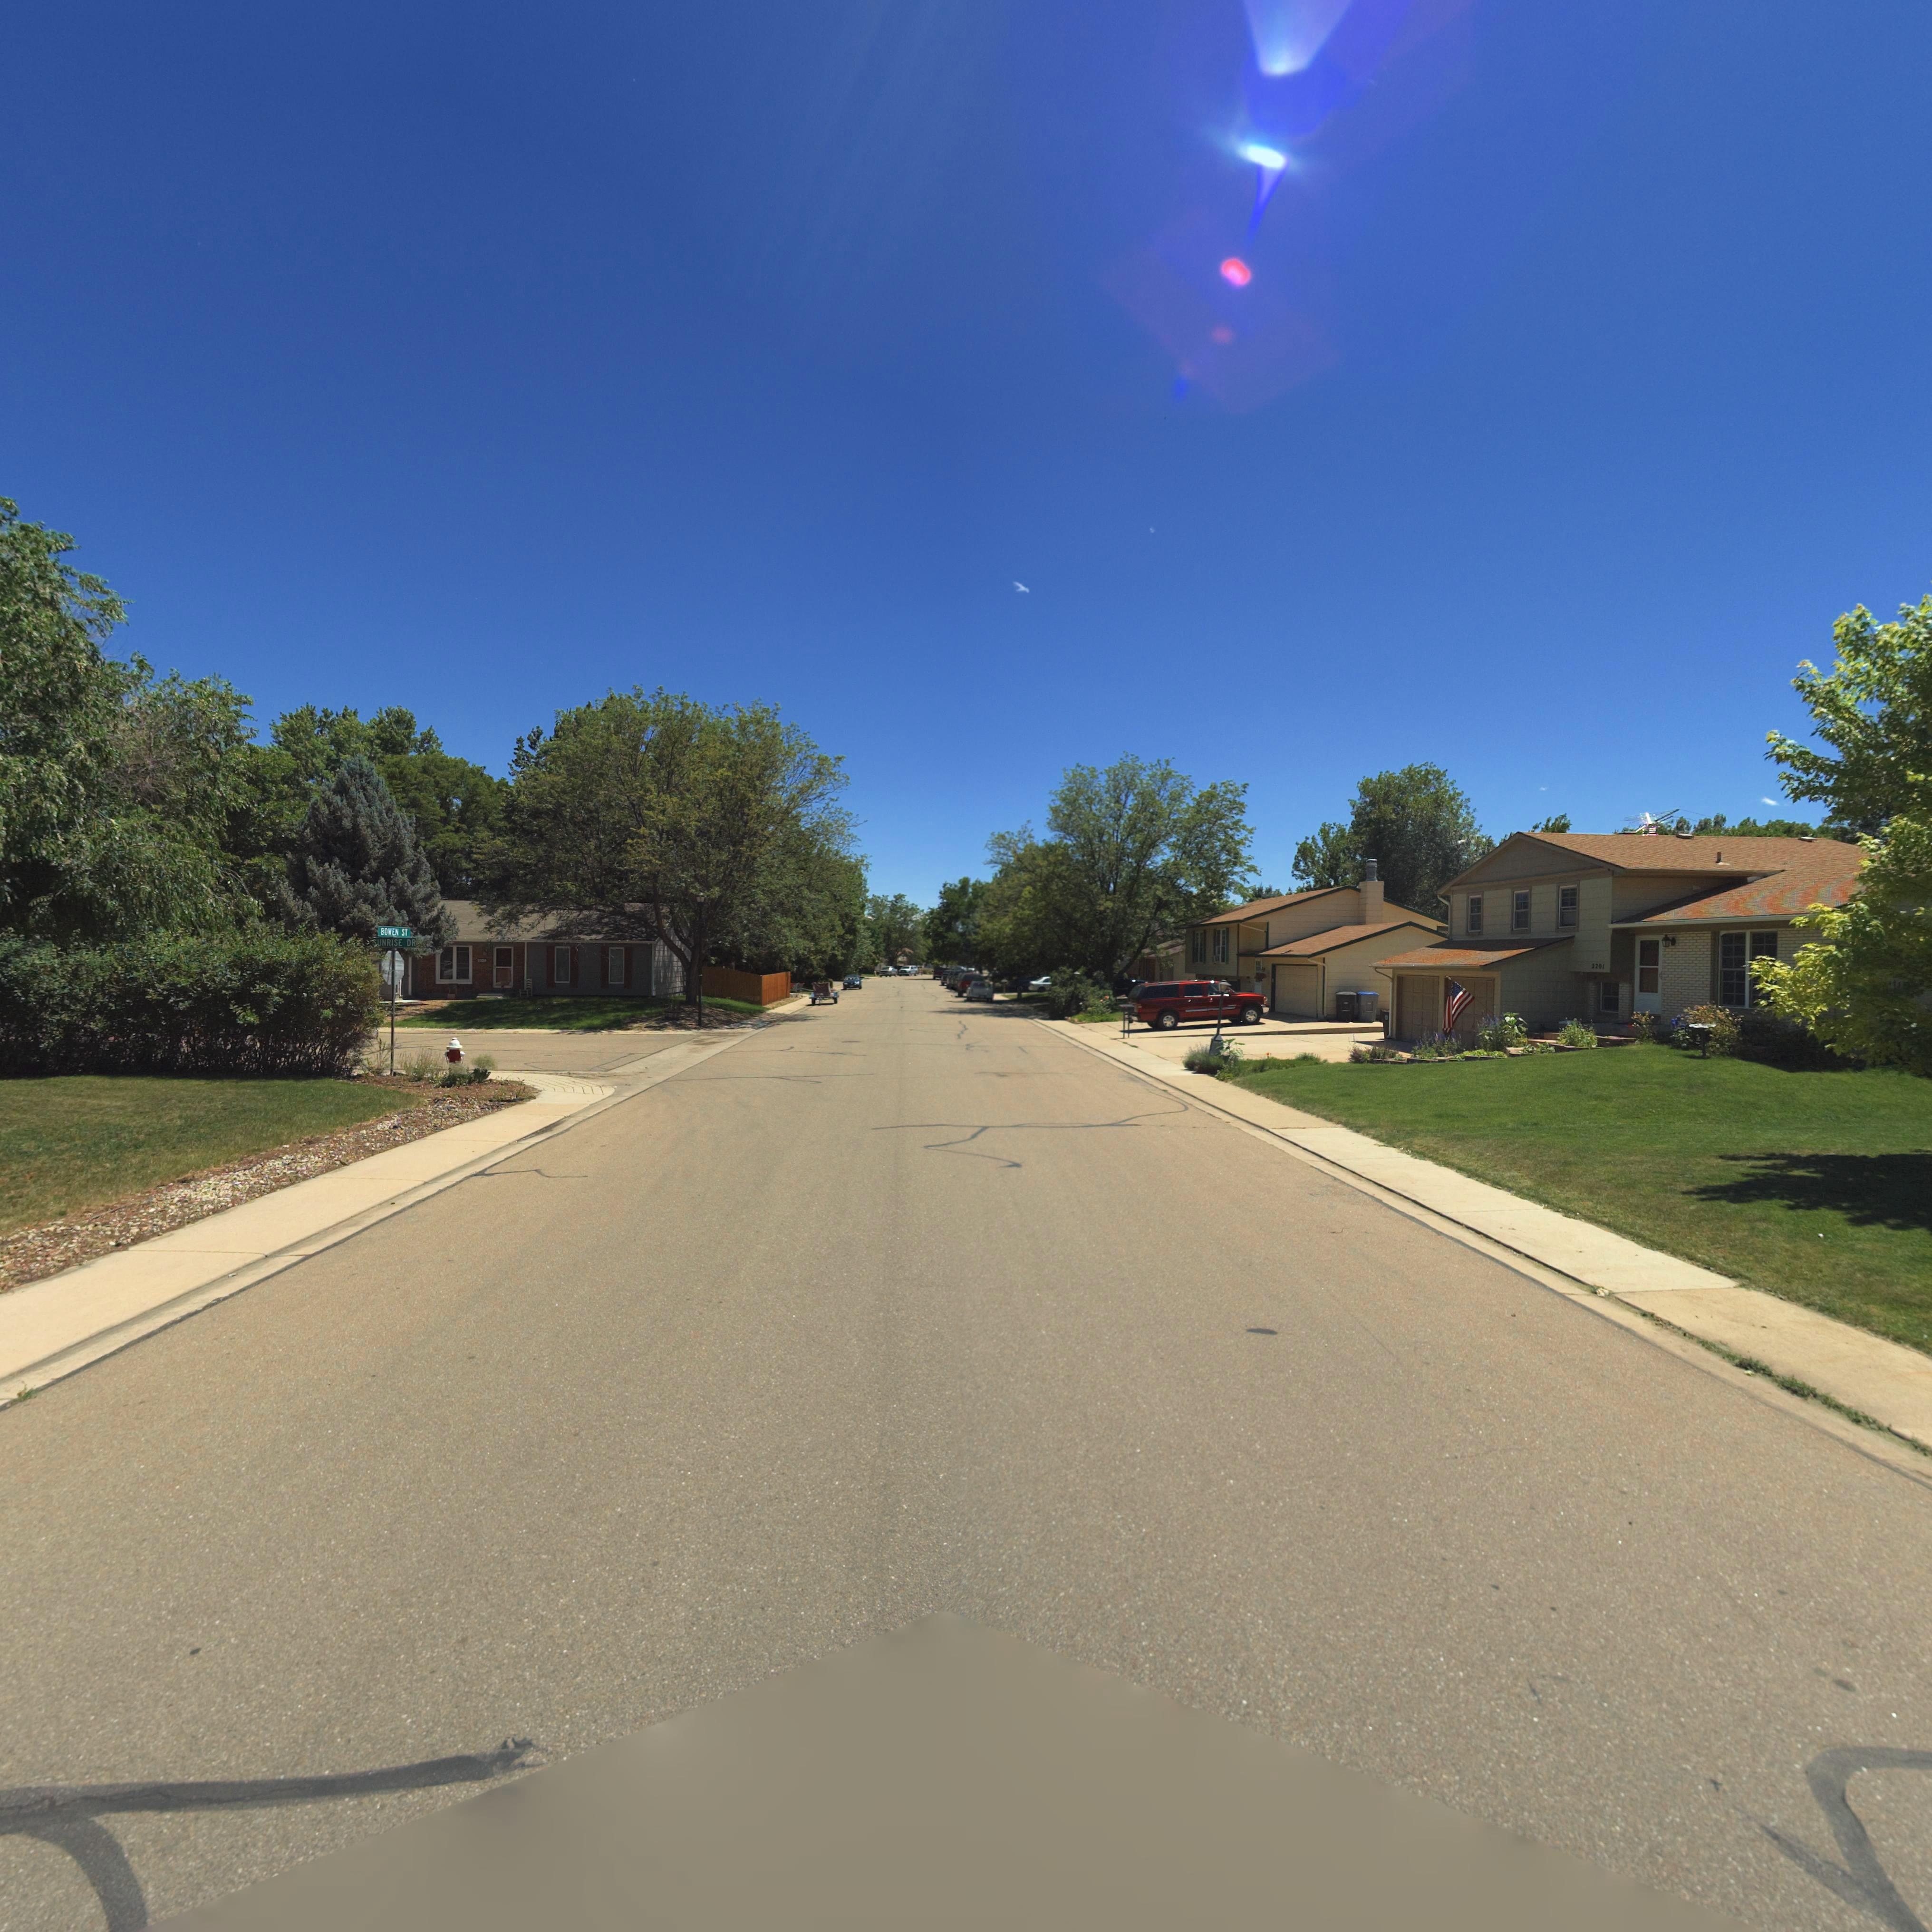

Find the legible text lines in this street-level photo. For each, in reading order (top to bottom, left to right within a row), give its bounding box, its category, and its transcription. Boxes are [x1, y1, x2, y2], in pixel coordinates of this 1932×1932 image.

[380, 927, 408, 937] StreetName: BOWEN ST
[372, 938, 415, 947] StreetName: SUNRISE DR
[477, 958, 487, 962] StreetNumber: 2***
[1592, 963, 1604, 969] StreetNumber: 2201